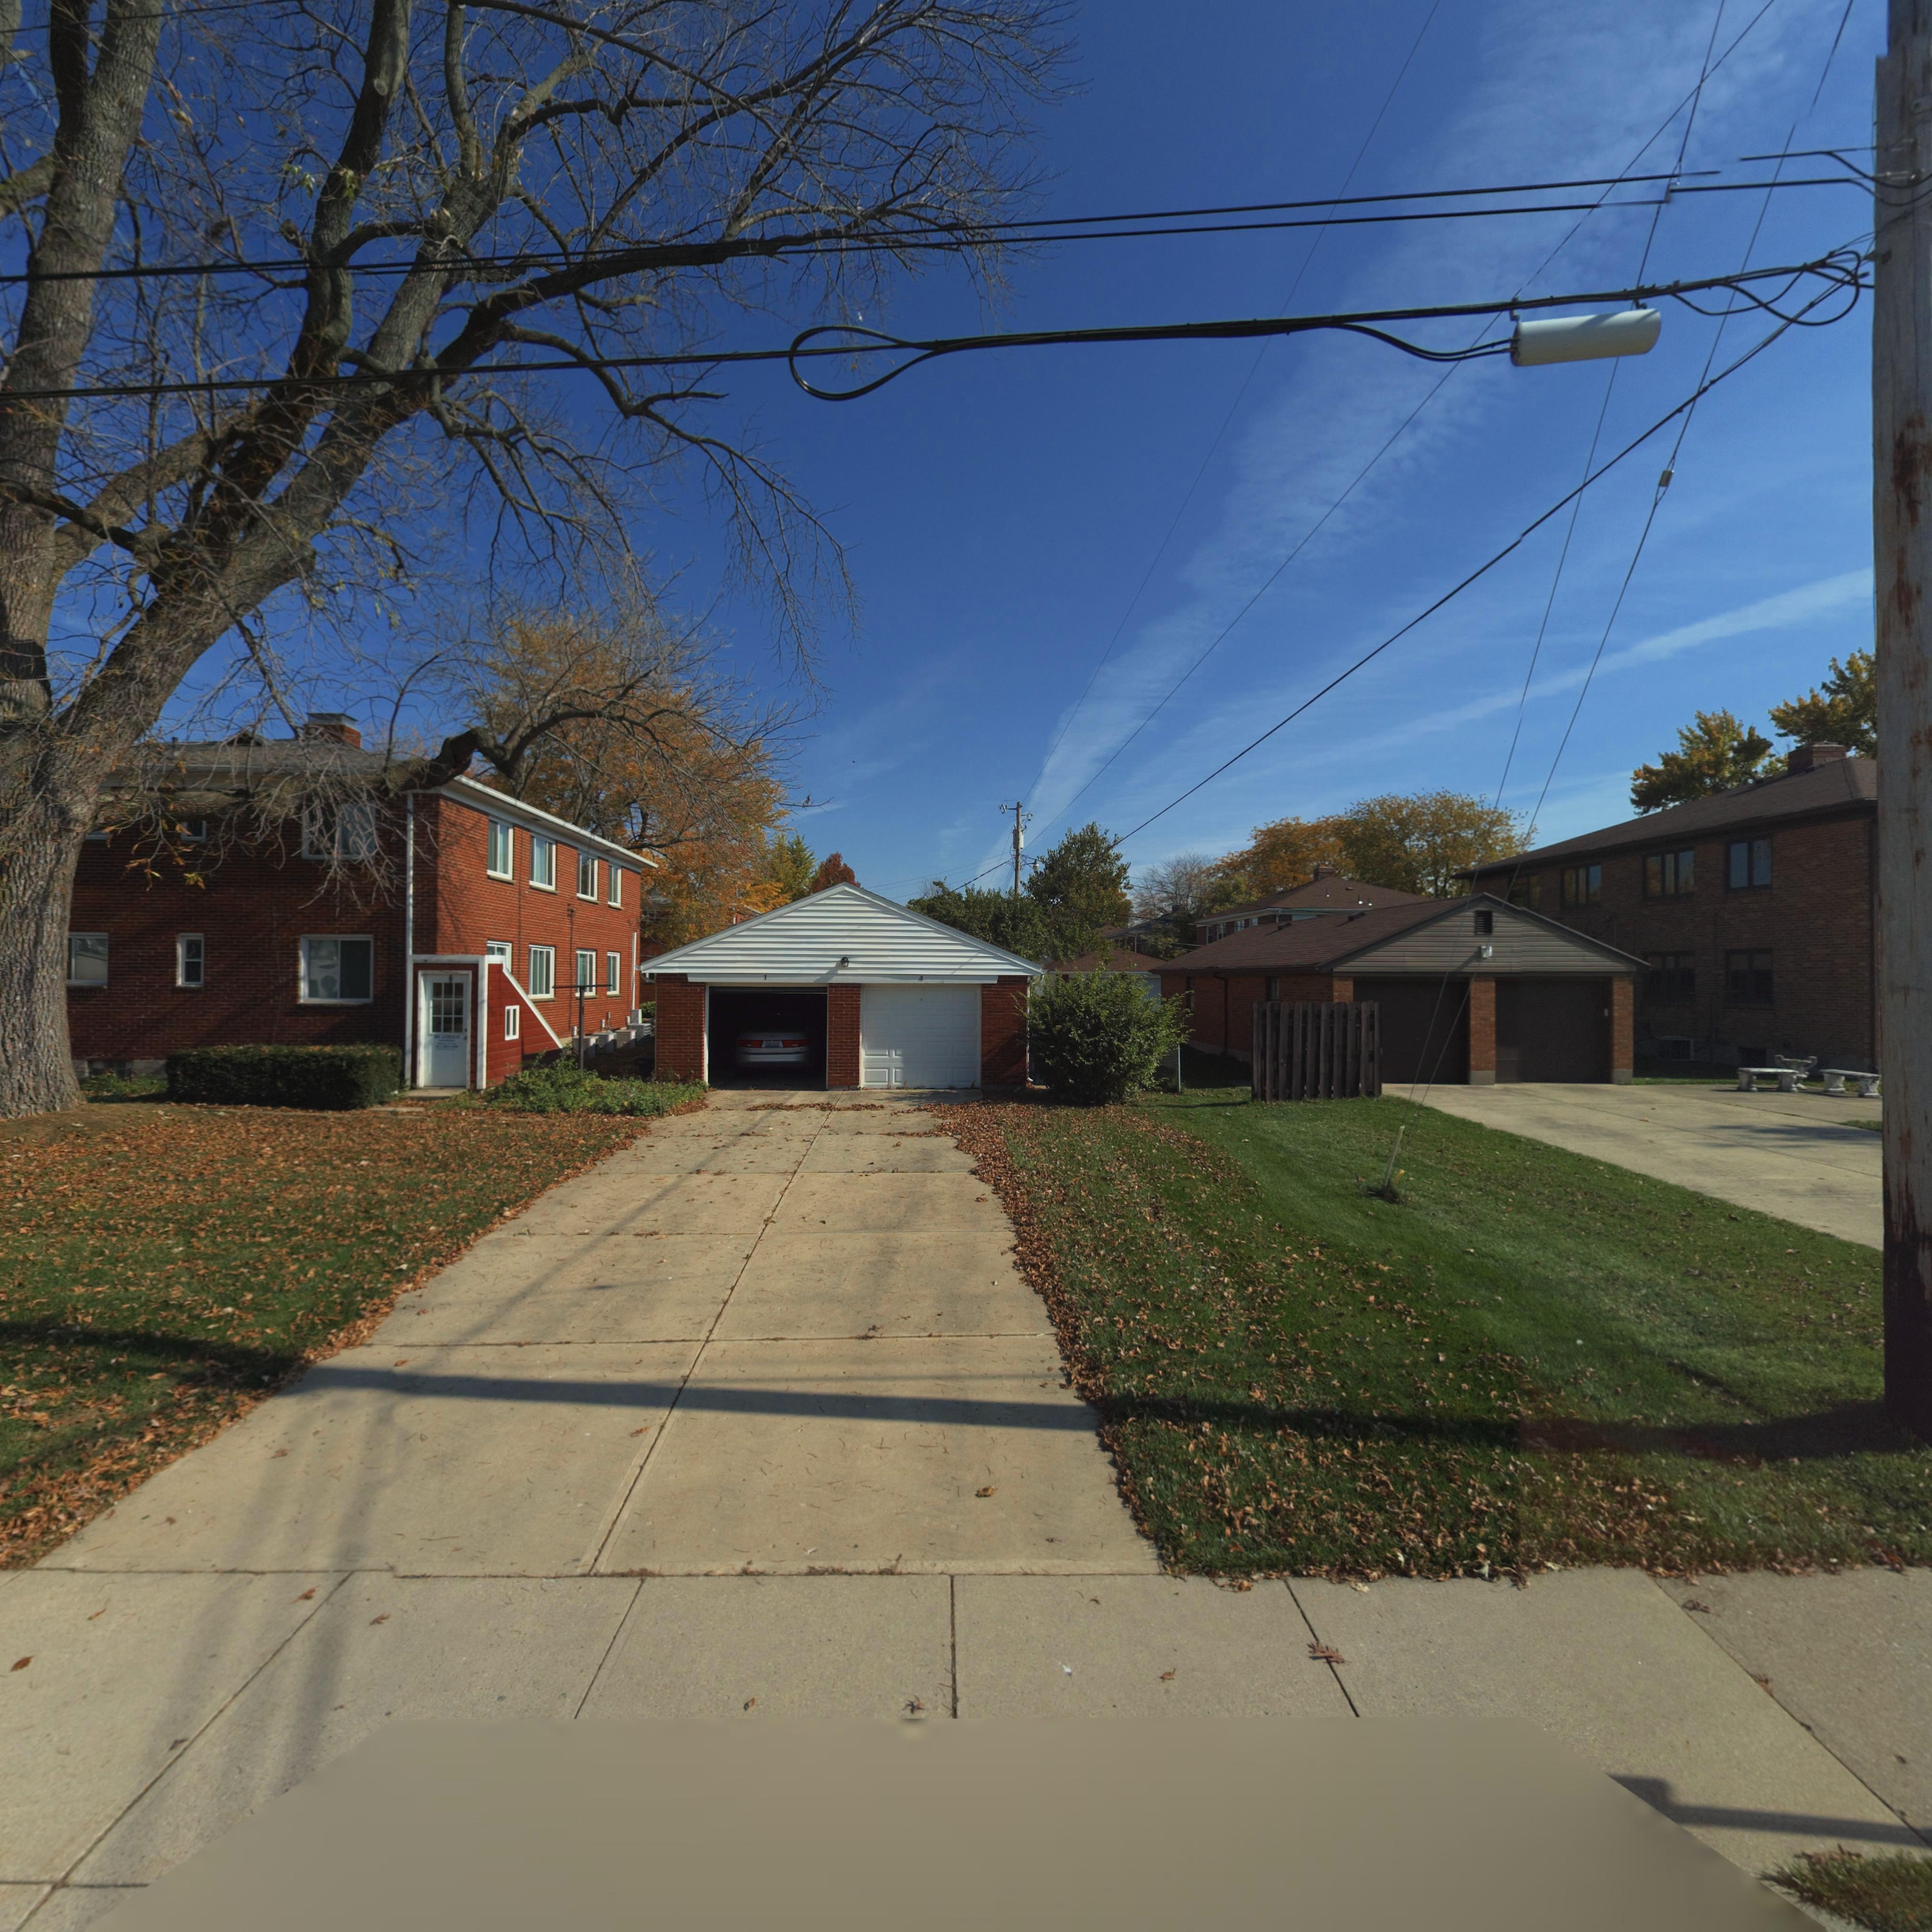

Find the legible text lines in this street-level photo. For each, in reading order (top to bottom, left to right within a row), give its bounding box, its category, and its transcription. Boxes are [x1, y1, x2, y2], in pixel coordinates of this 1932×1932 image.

[763, 975, 767, 980] StreetNumber: 1
[918, 976, 923, 981] StreetNumber: 4